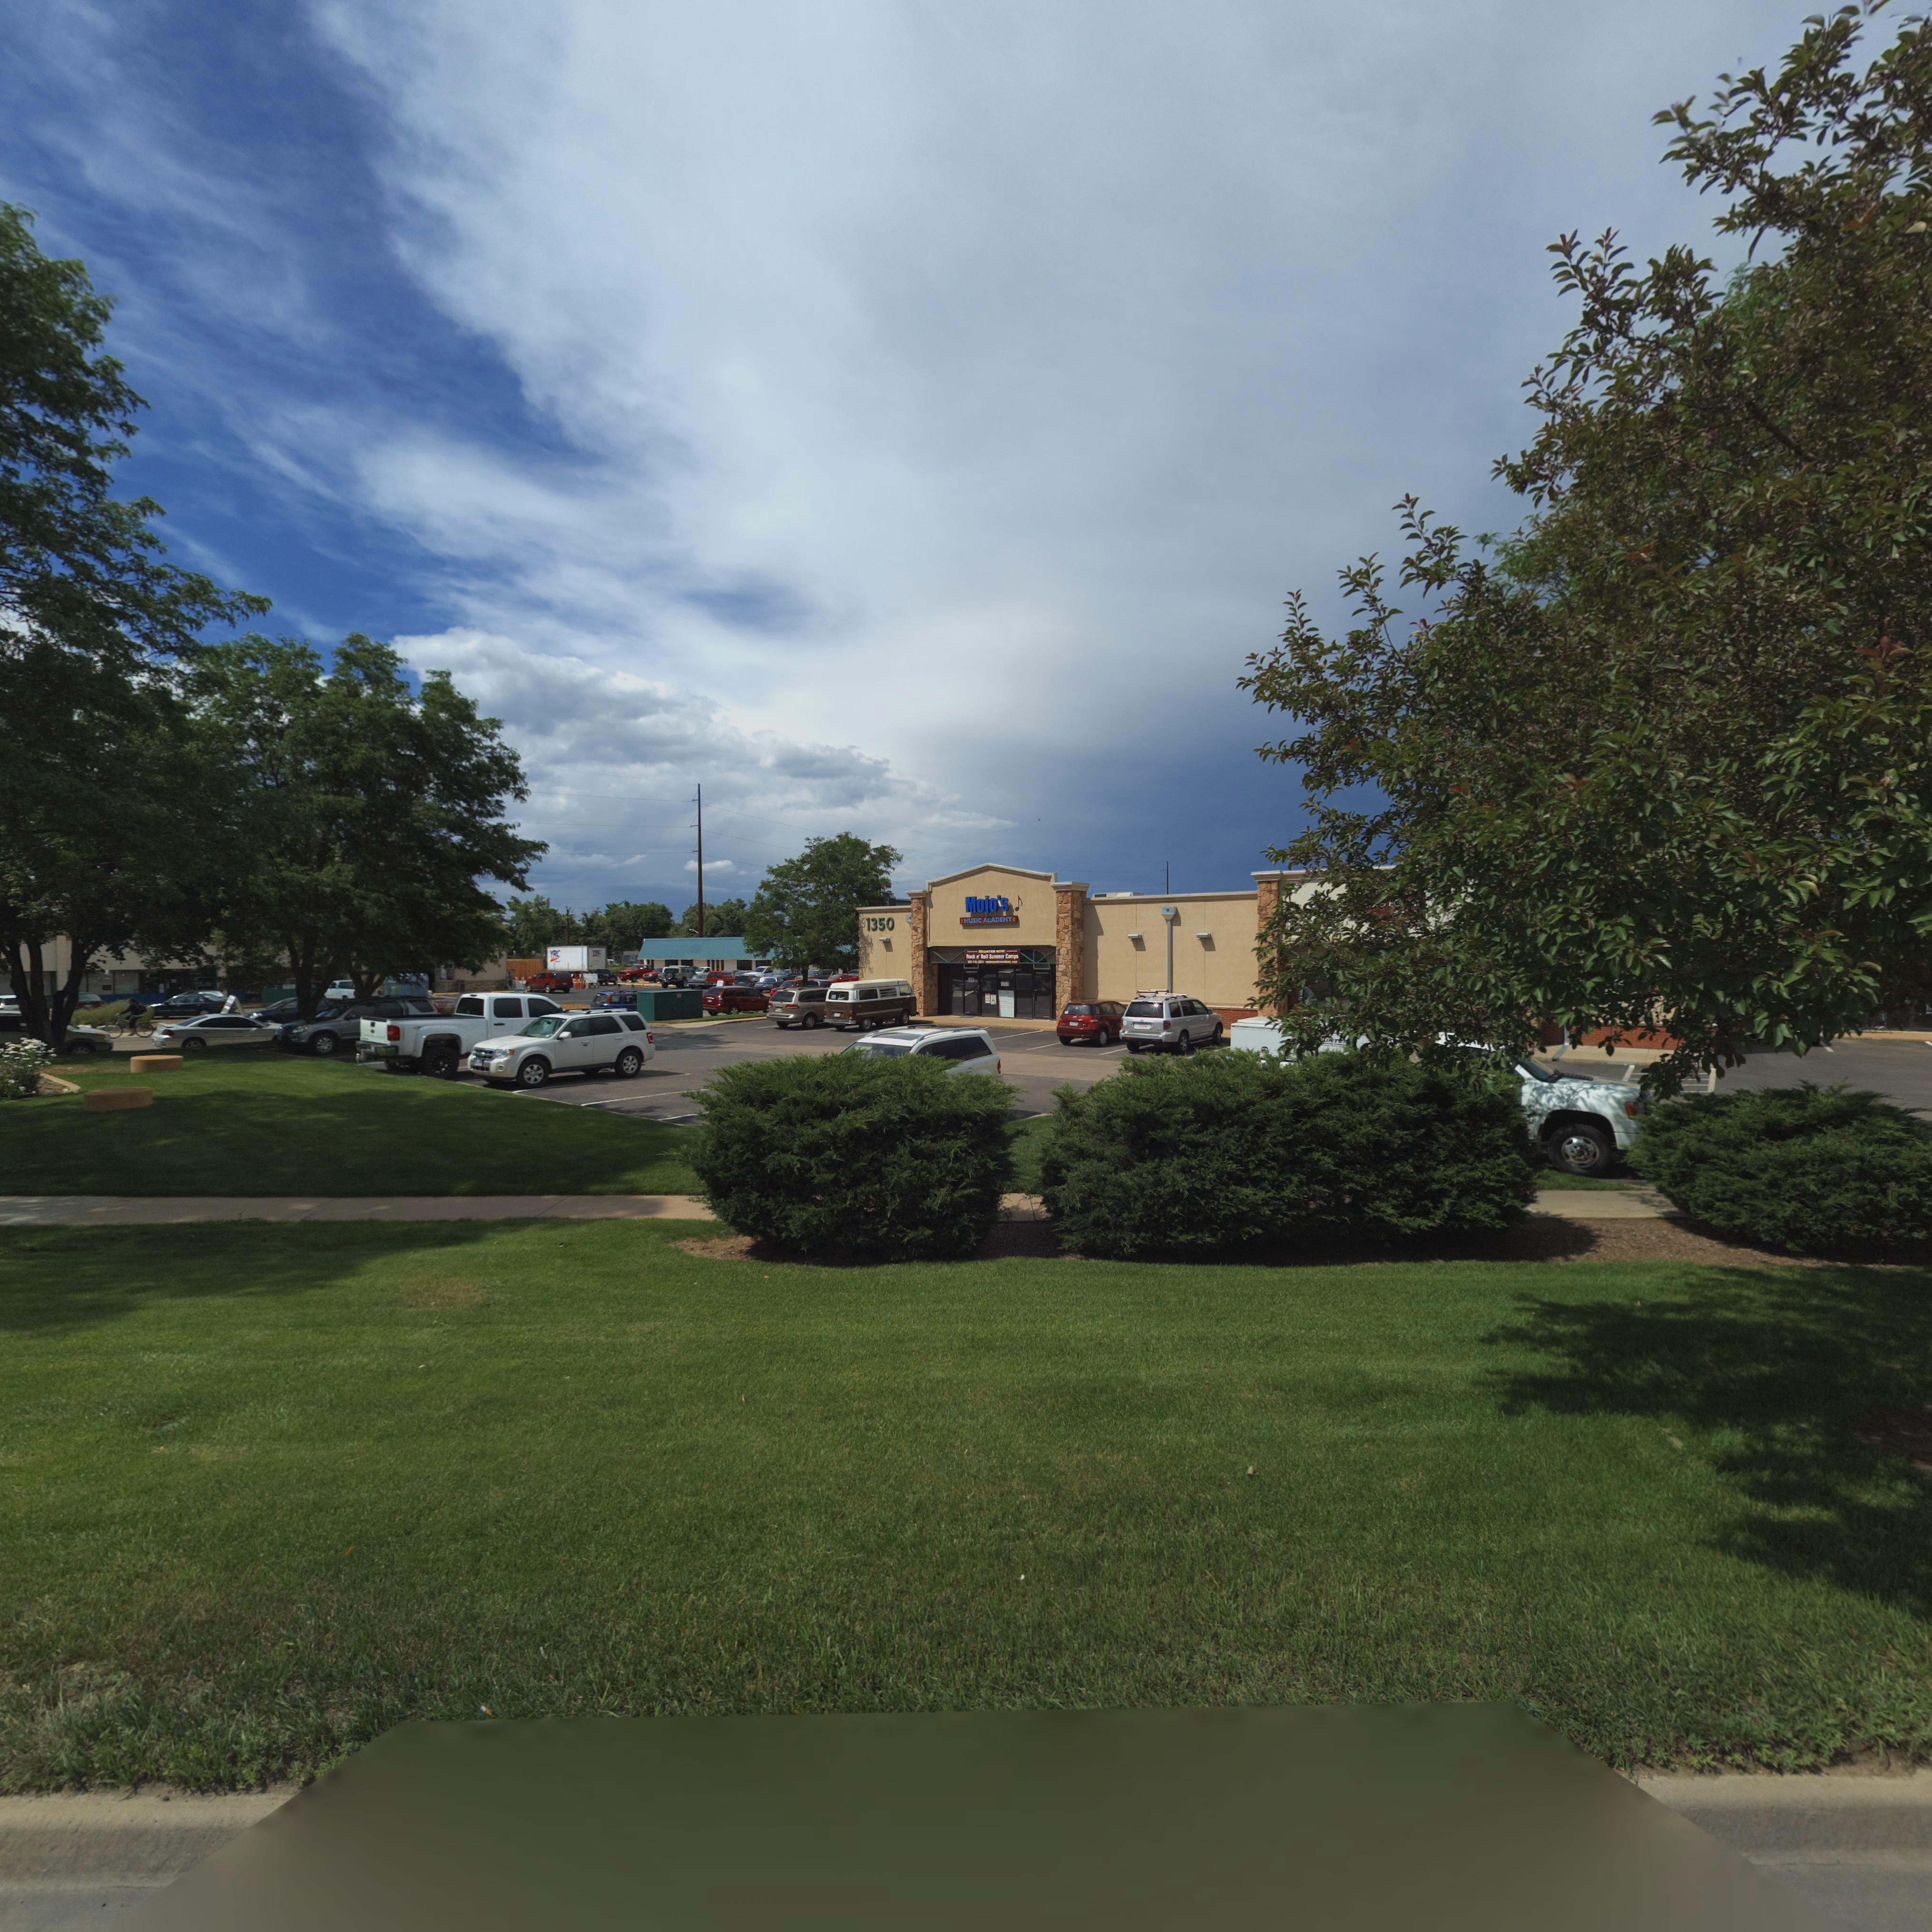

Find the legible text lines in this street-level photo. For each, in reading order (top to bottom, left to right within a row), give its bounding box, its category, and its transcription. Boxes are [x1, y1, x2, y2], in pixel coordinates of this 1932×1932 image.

[965, 895, 1009, 914] BusinessName: Mojo's
[865, 917, 894, 930] StreetNumber: 1350
[964, 916, 1012, 923] BusinessName: MUSIC ACADEMY